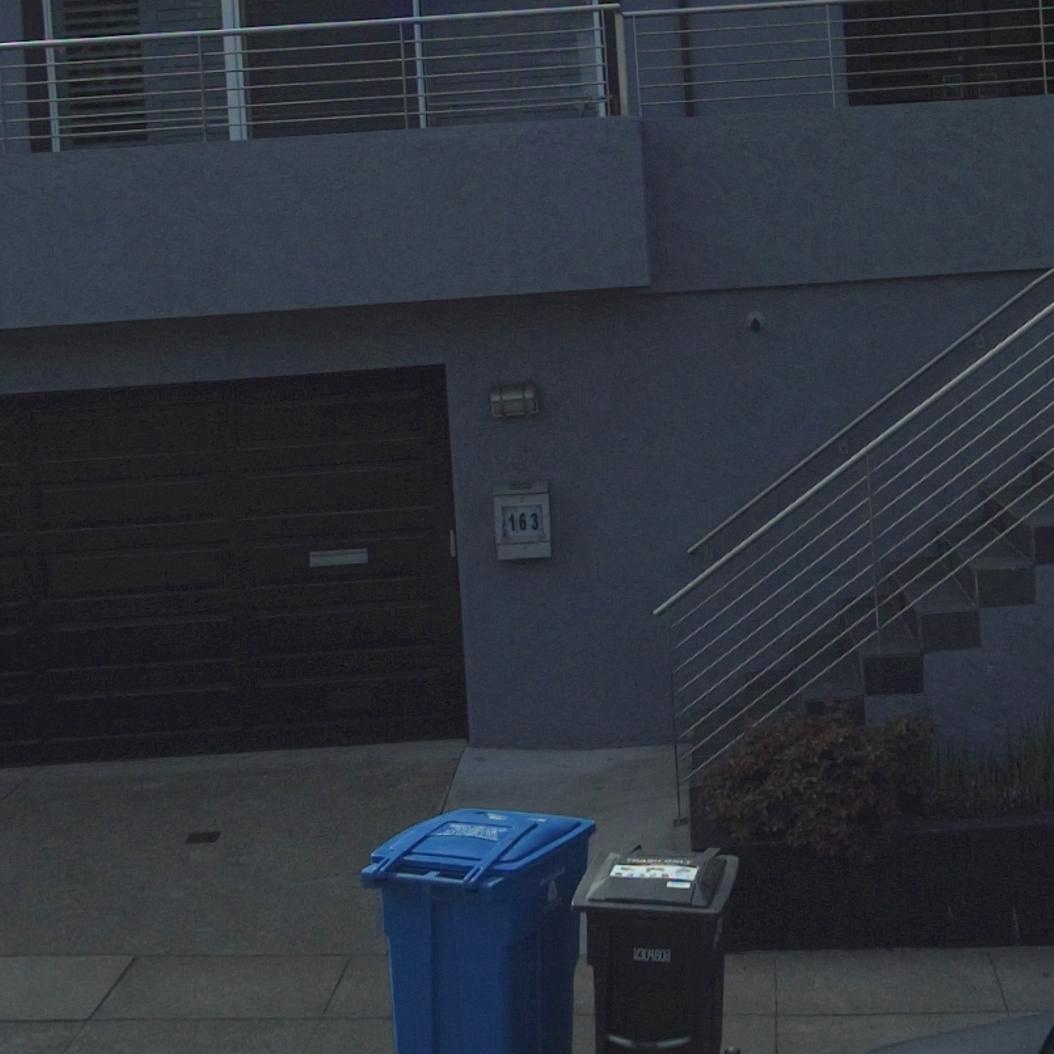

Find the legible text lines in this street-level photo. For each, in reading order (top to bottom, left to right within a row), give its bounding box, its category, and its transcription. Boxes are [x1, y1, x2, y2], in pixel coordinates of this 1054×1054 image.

[507, 511, 539, 532] StreetNumber: 163
[631, 947, 672, 962] None: *304808